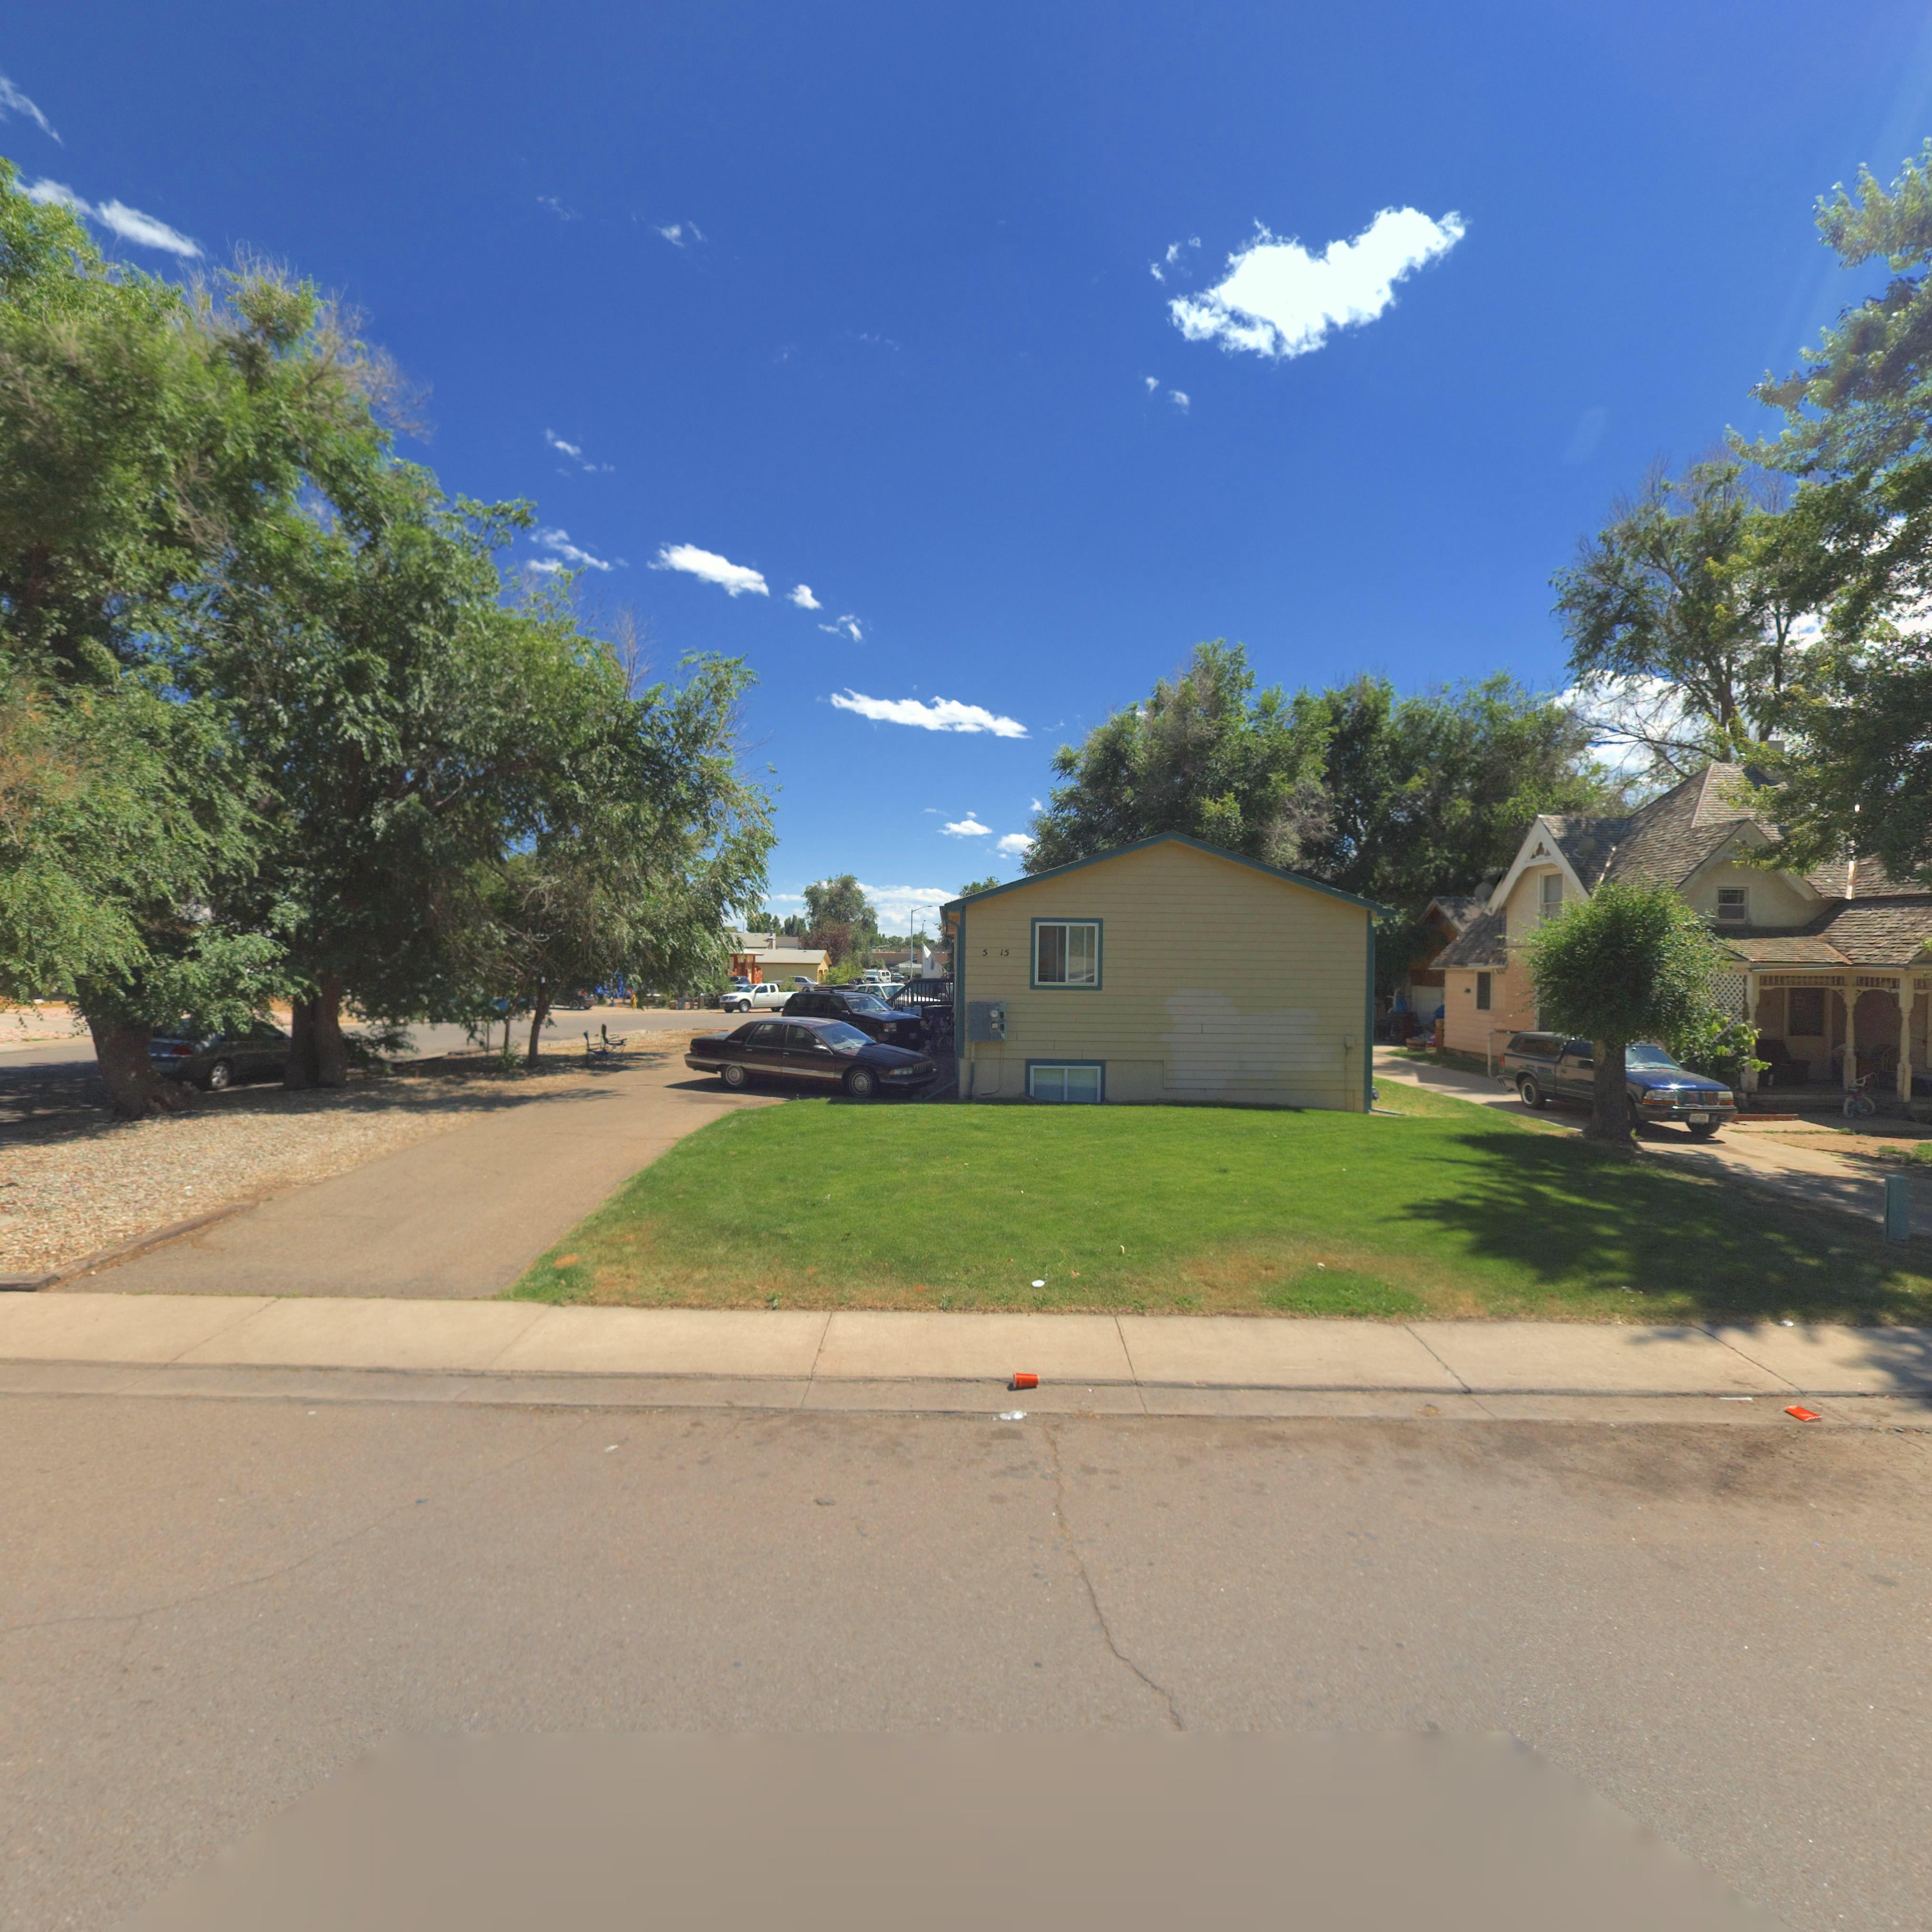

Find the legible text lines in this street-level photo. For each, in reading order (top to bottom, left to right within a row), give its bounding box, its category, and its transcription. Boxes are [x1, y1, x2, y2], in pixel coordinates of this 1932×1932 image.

[981, 948, 987, 956] StreetNumber: 5
[1000, 948, 1010, 956] StreetNumber: 15